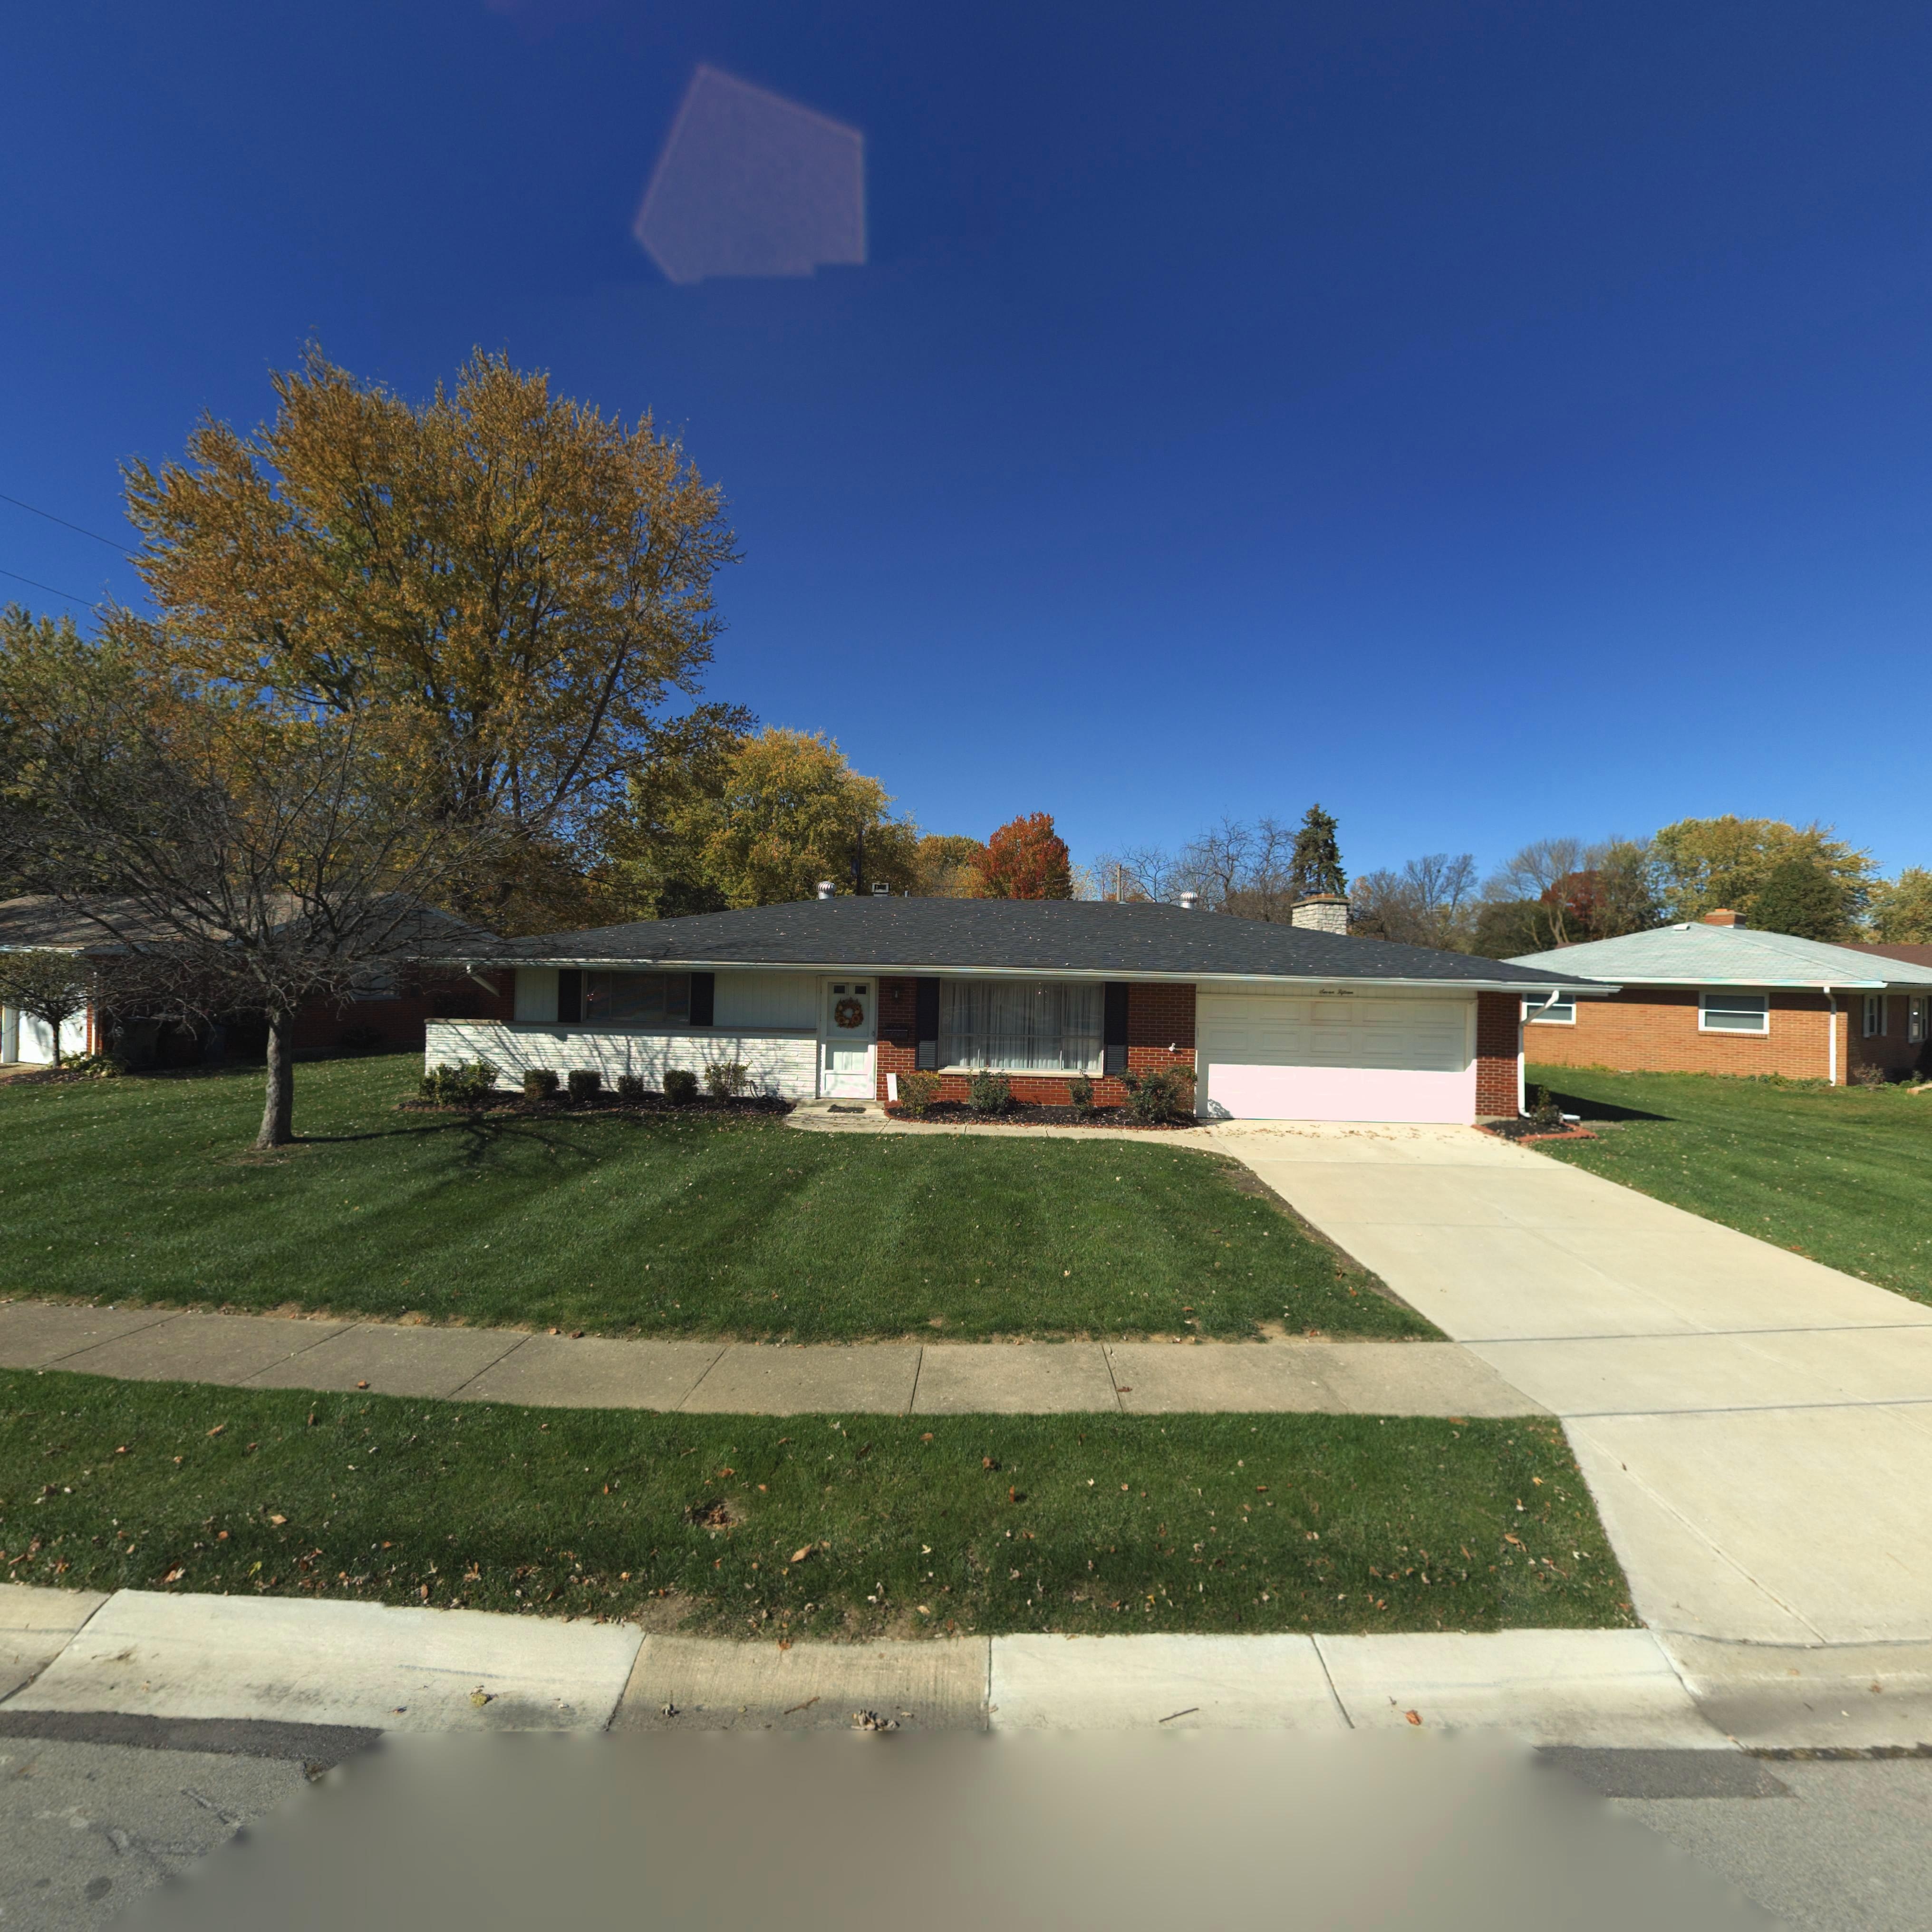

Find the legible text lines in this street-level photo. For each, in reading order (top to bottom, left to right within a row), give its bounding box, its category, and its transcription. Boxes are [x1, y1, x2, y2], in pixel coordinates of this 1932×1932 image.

[1318, 988, 1354, 996] StreetNumber: Seven Fifteen
[889, 1031, 902, 1037] StreetNumber: 715